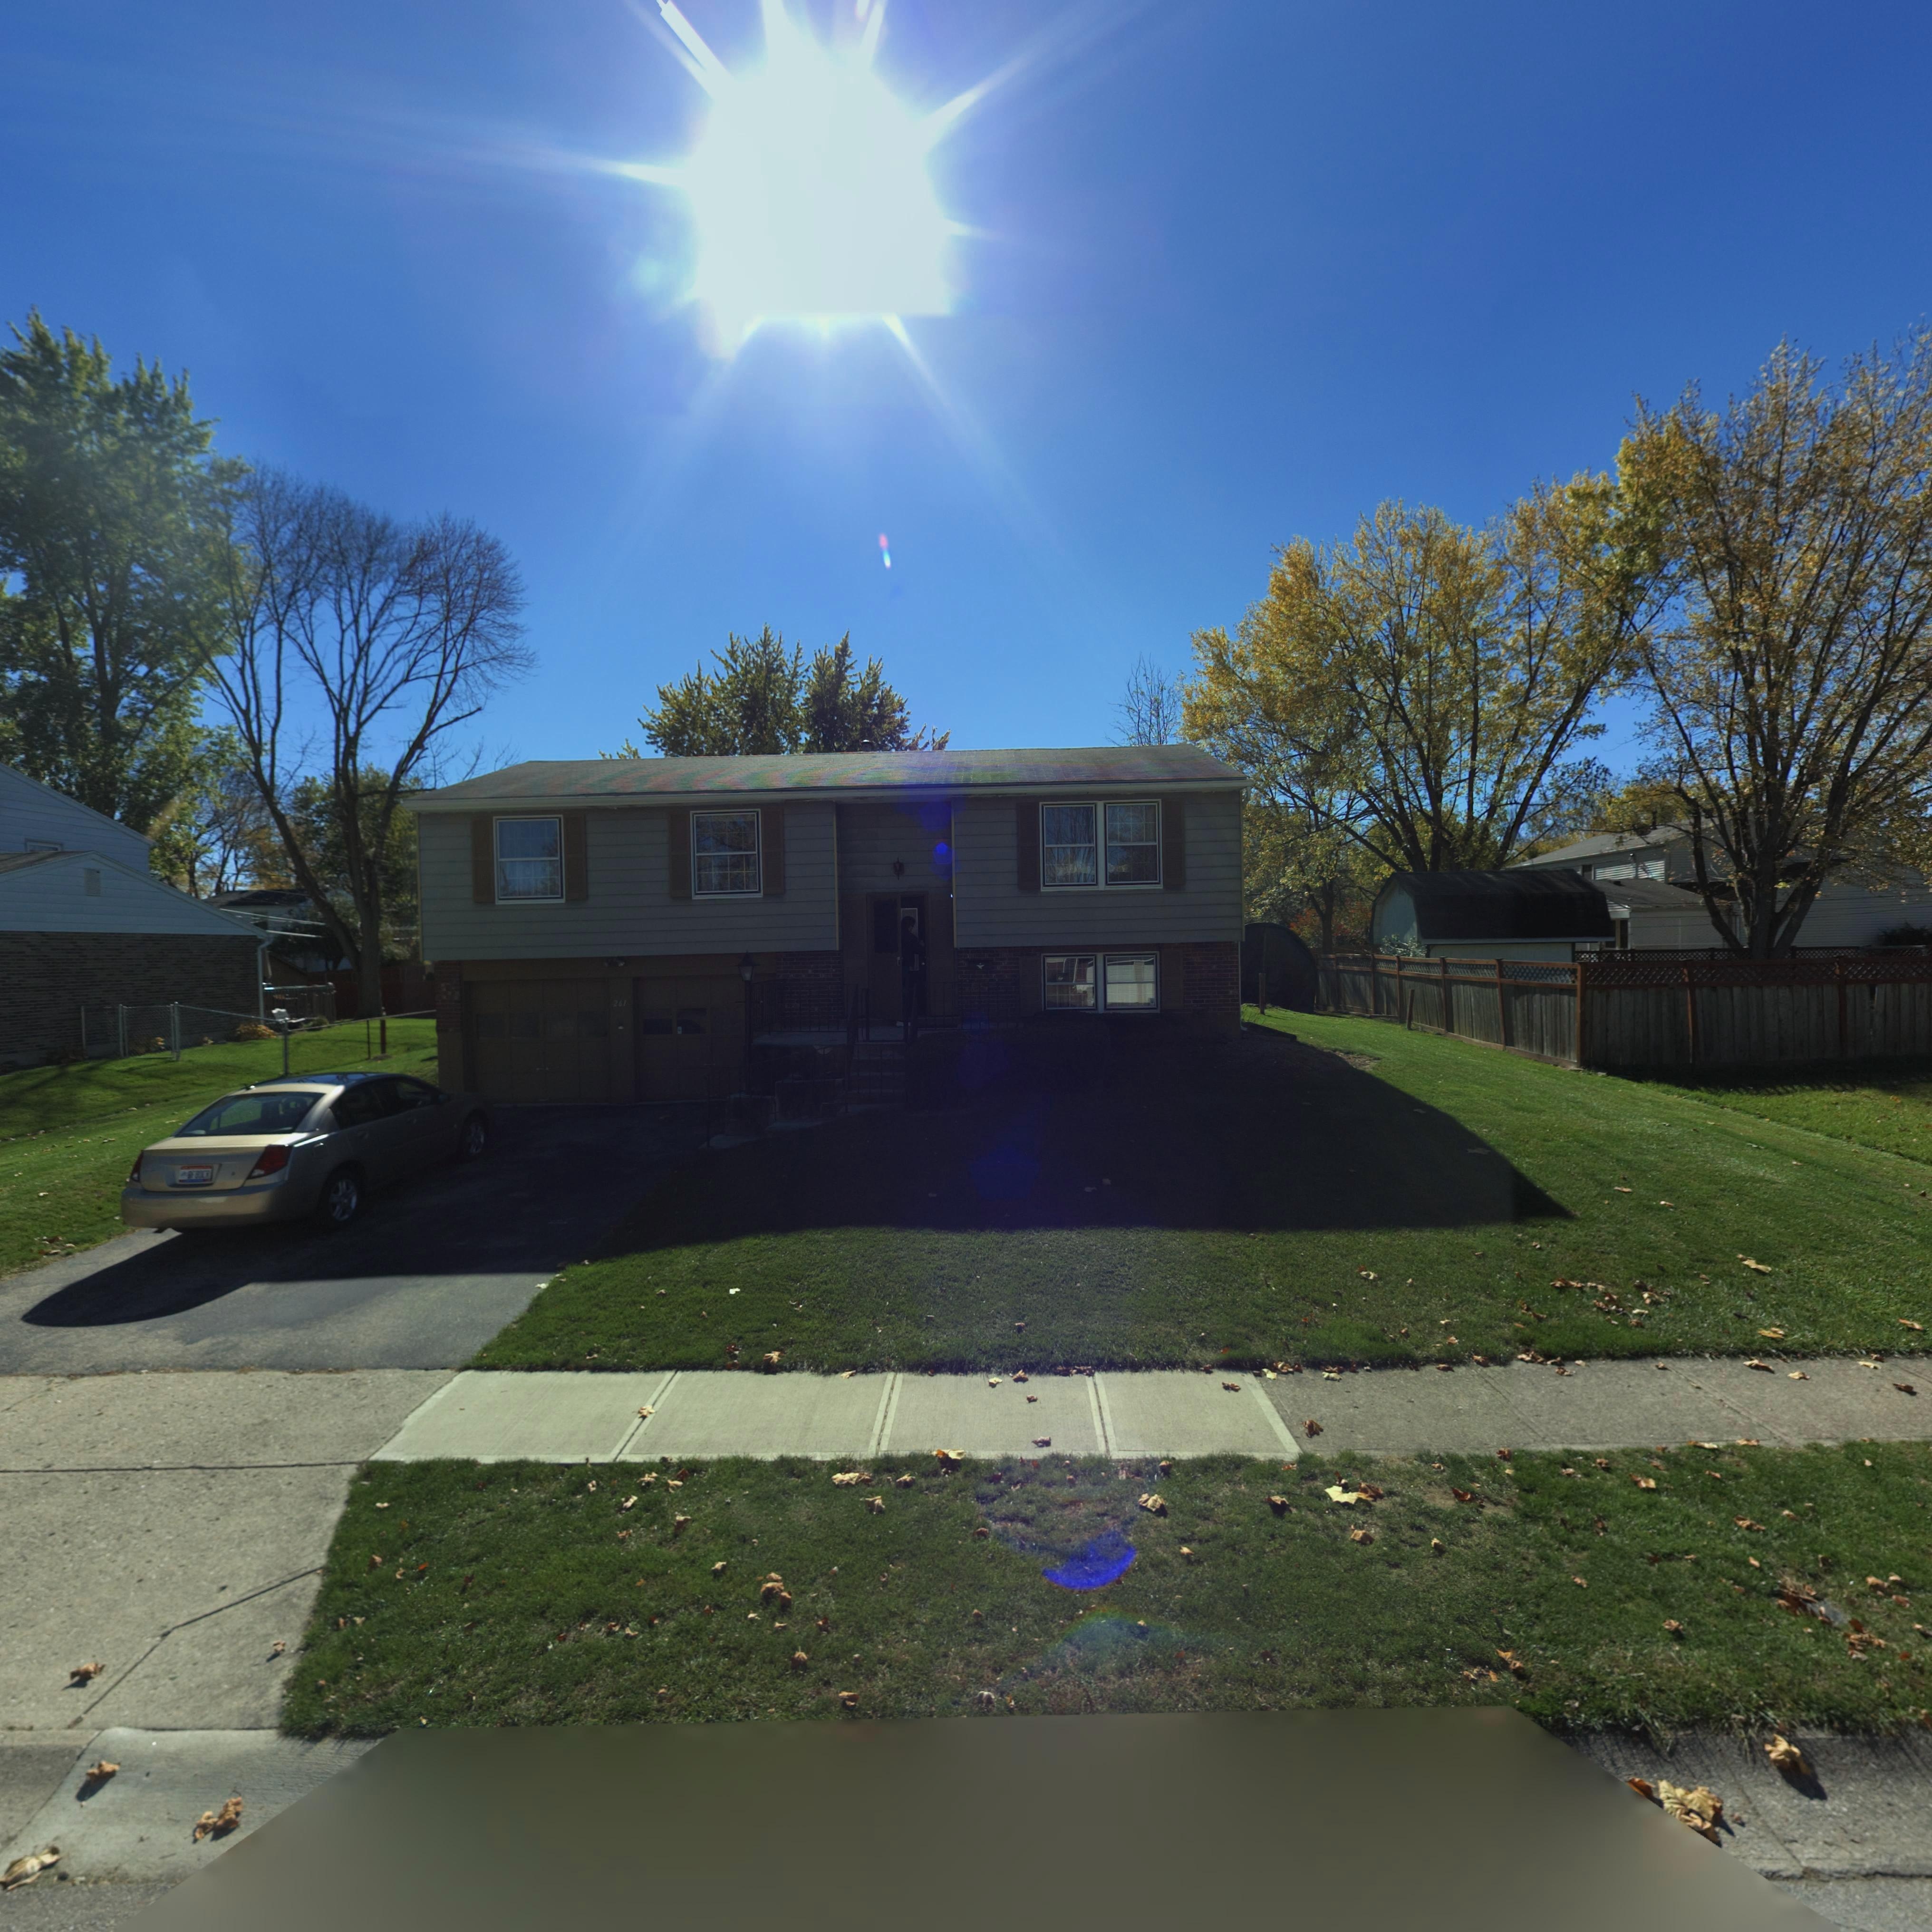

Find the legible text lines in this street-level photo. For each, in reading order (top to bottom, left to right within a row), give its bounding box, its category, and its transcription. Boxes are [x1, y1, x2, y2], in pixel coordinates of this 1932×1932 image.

[612, 999, 628, 1008] StreetNumber: 261